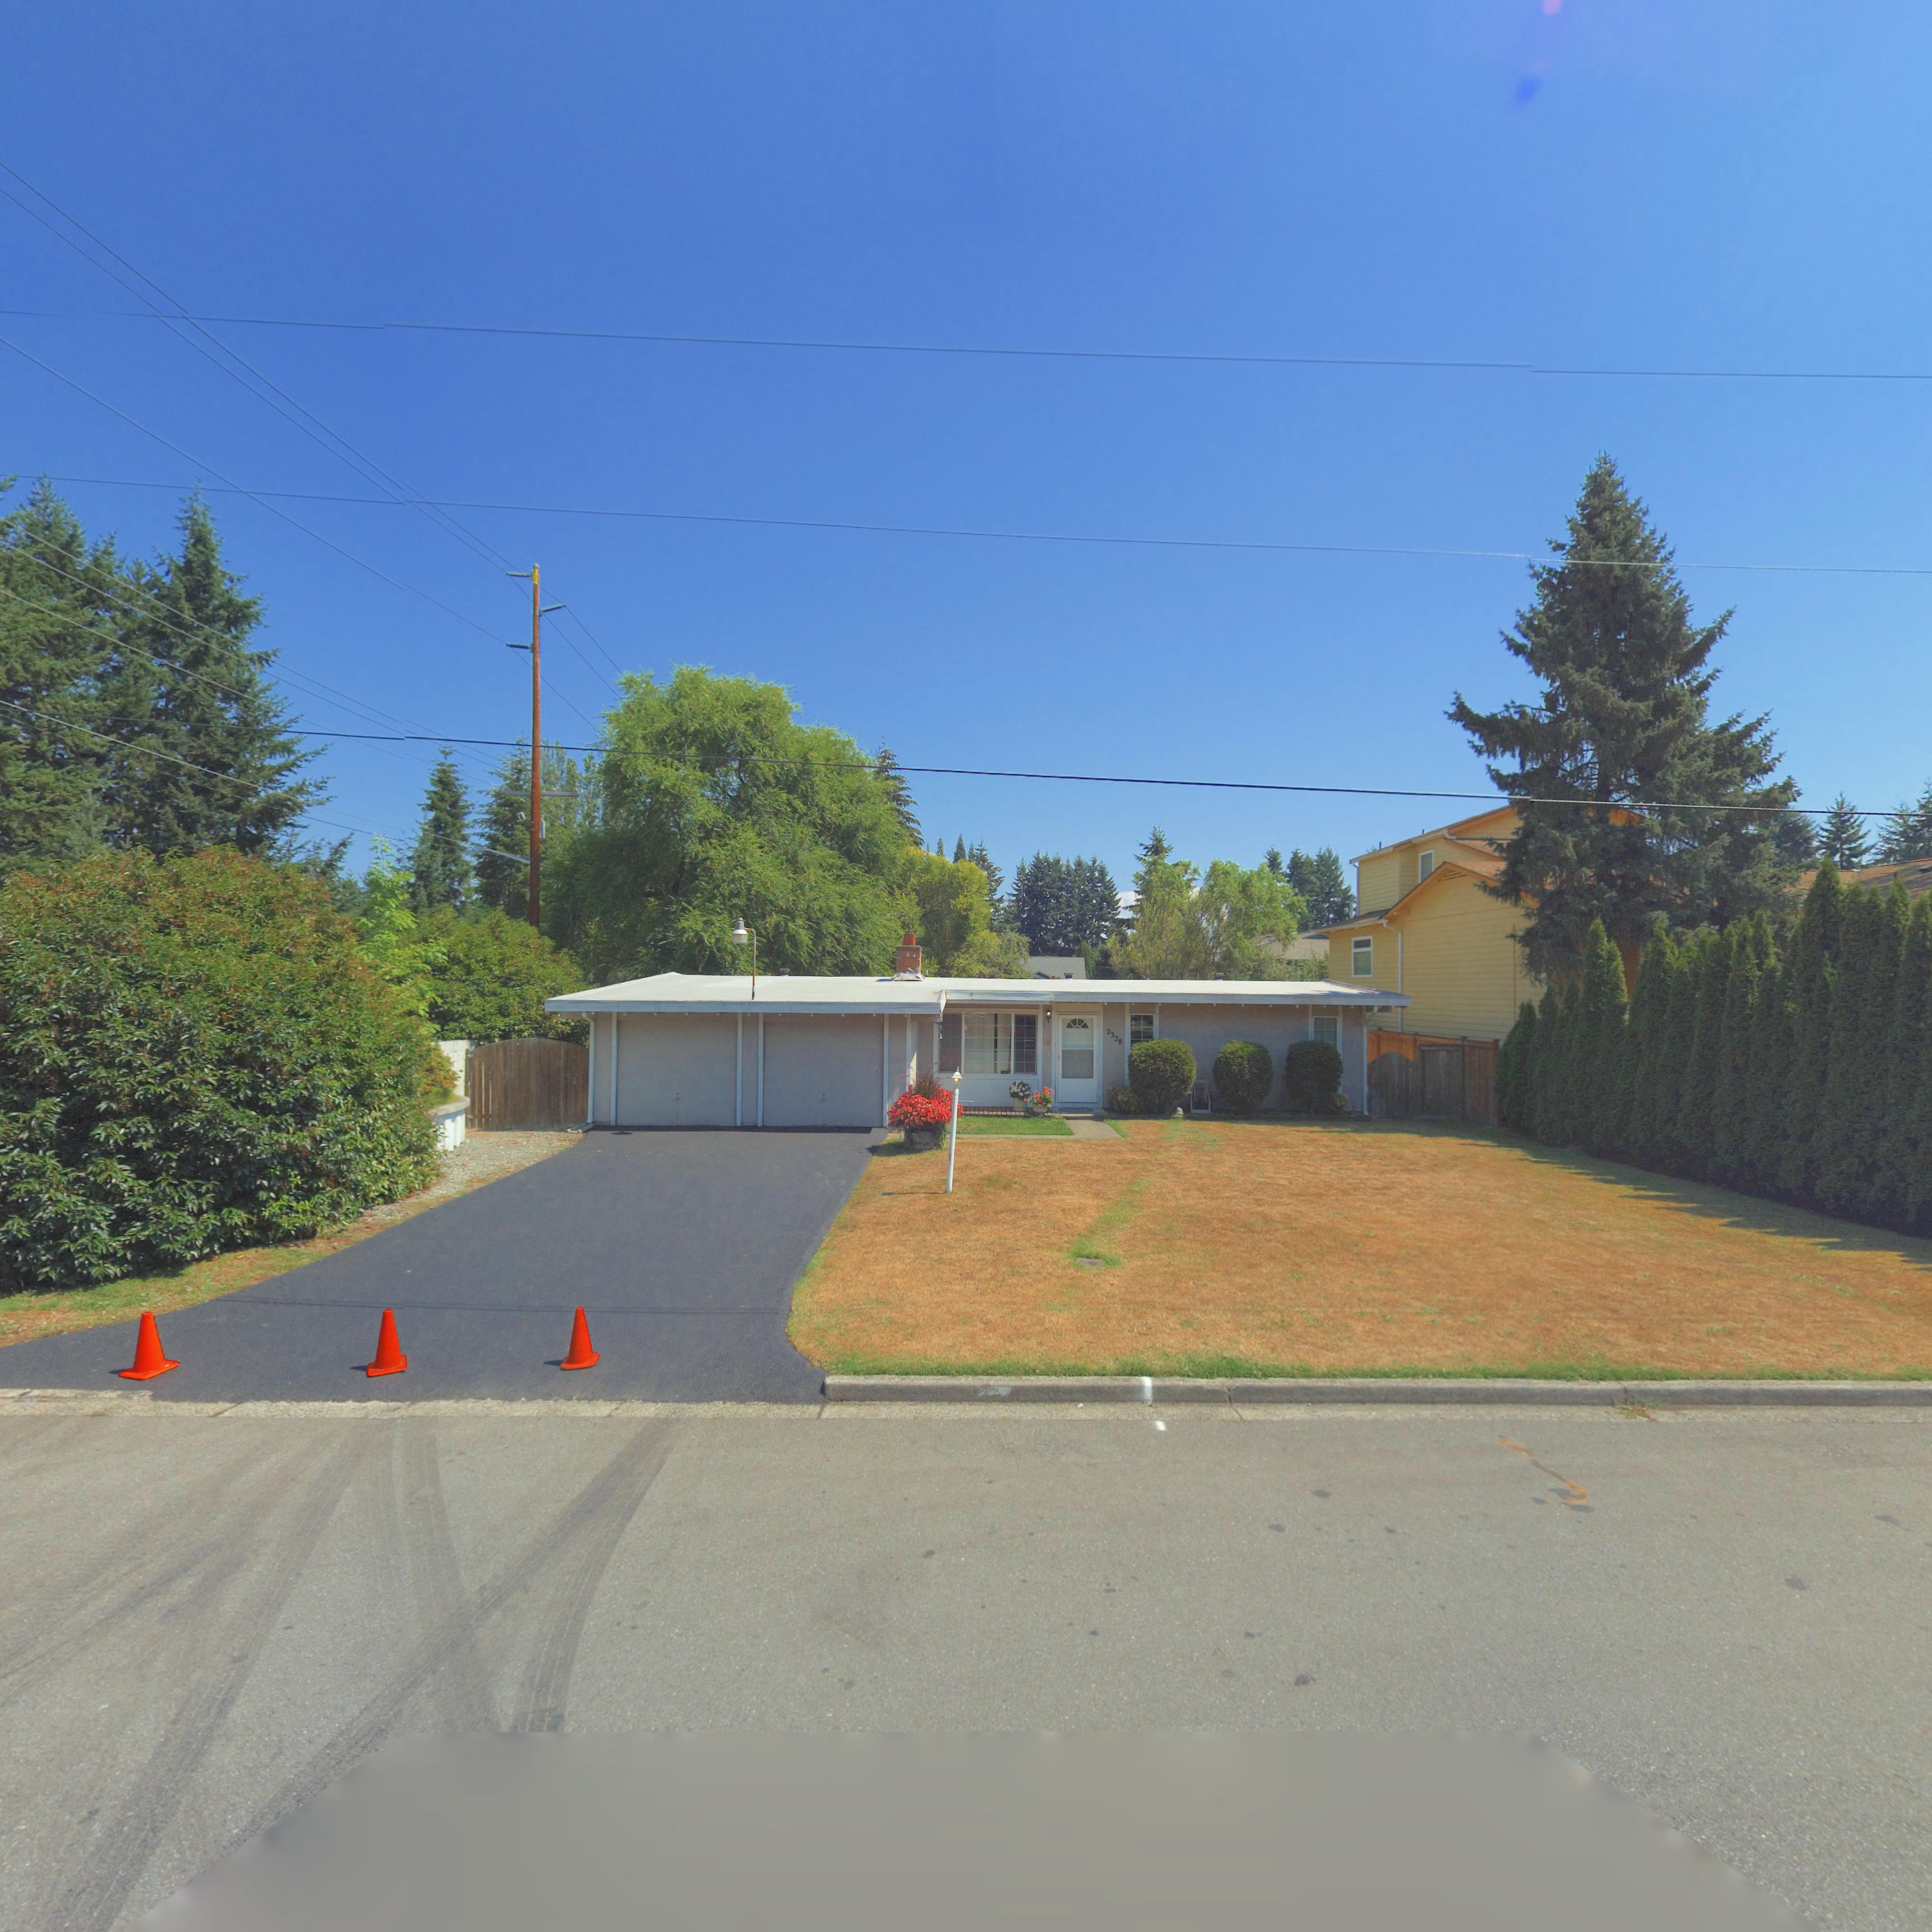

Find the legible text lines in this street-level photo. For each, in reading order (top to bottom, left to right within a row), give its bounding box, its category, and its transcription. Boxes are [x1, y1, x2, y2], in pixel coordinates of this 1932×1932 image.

[1106, 1028, 1122, 1044] StreetNumber: 2328